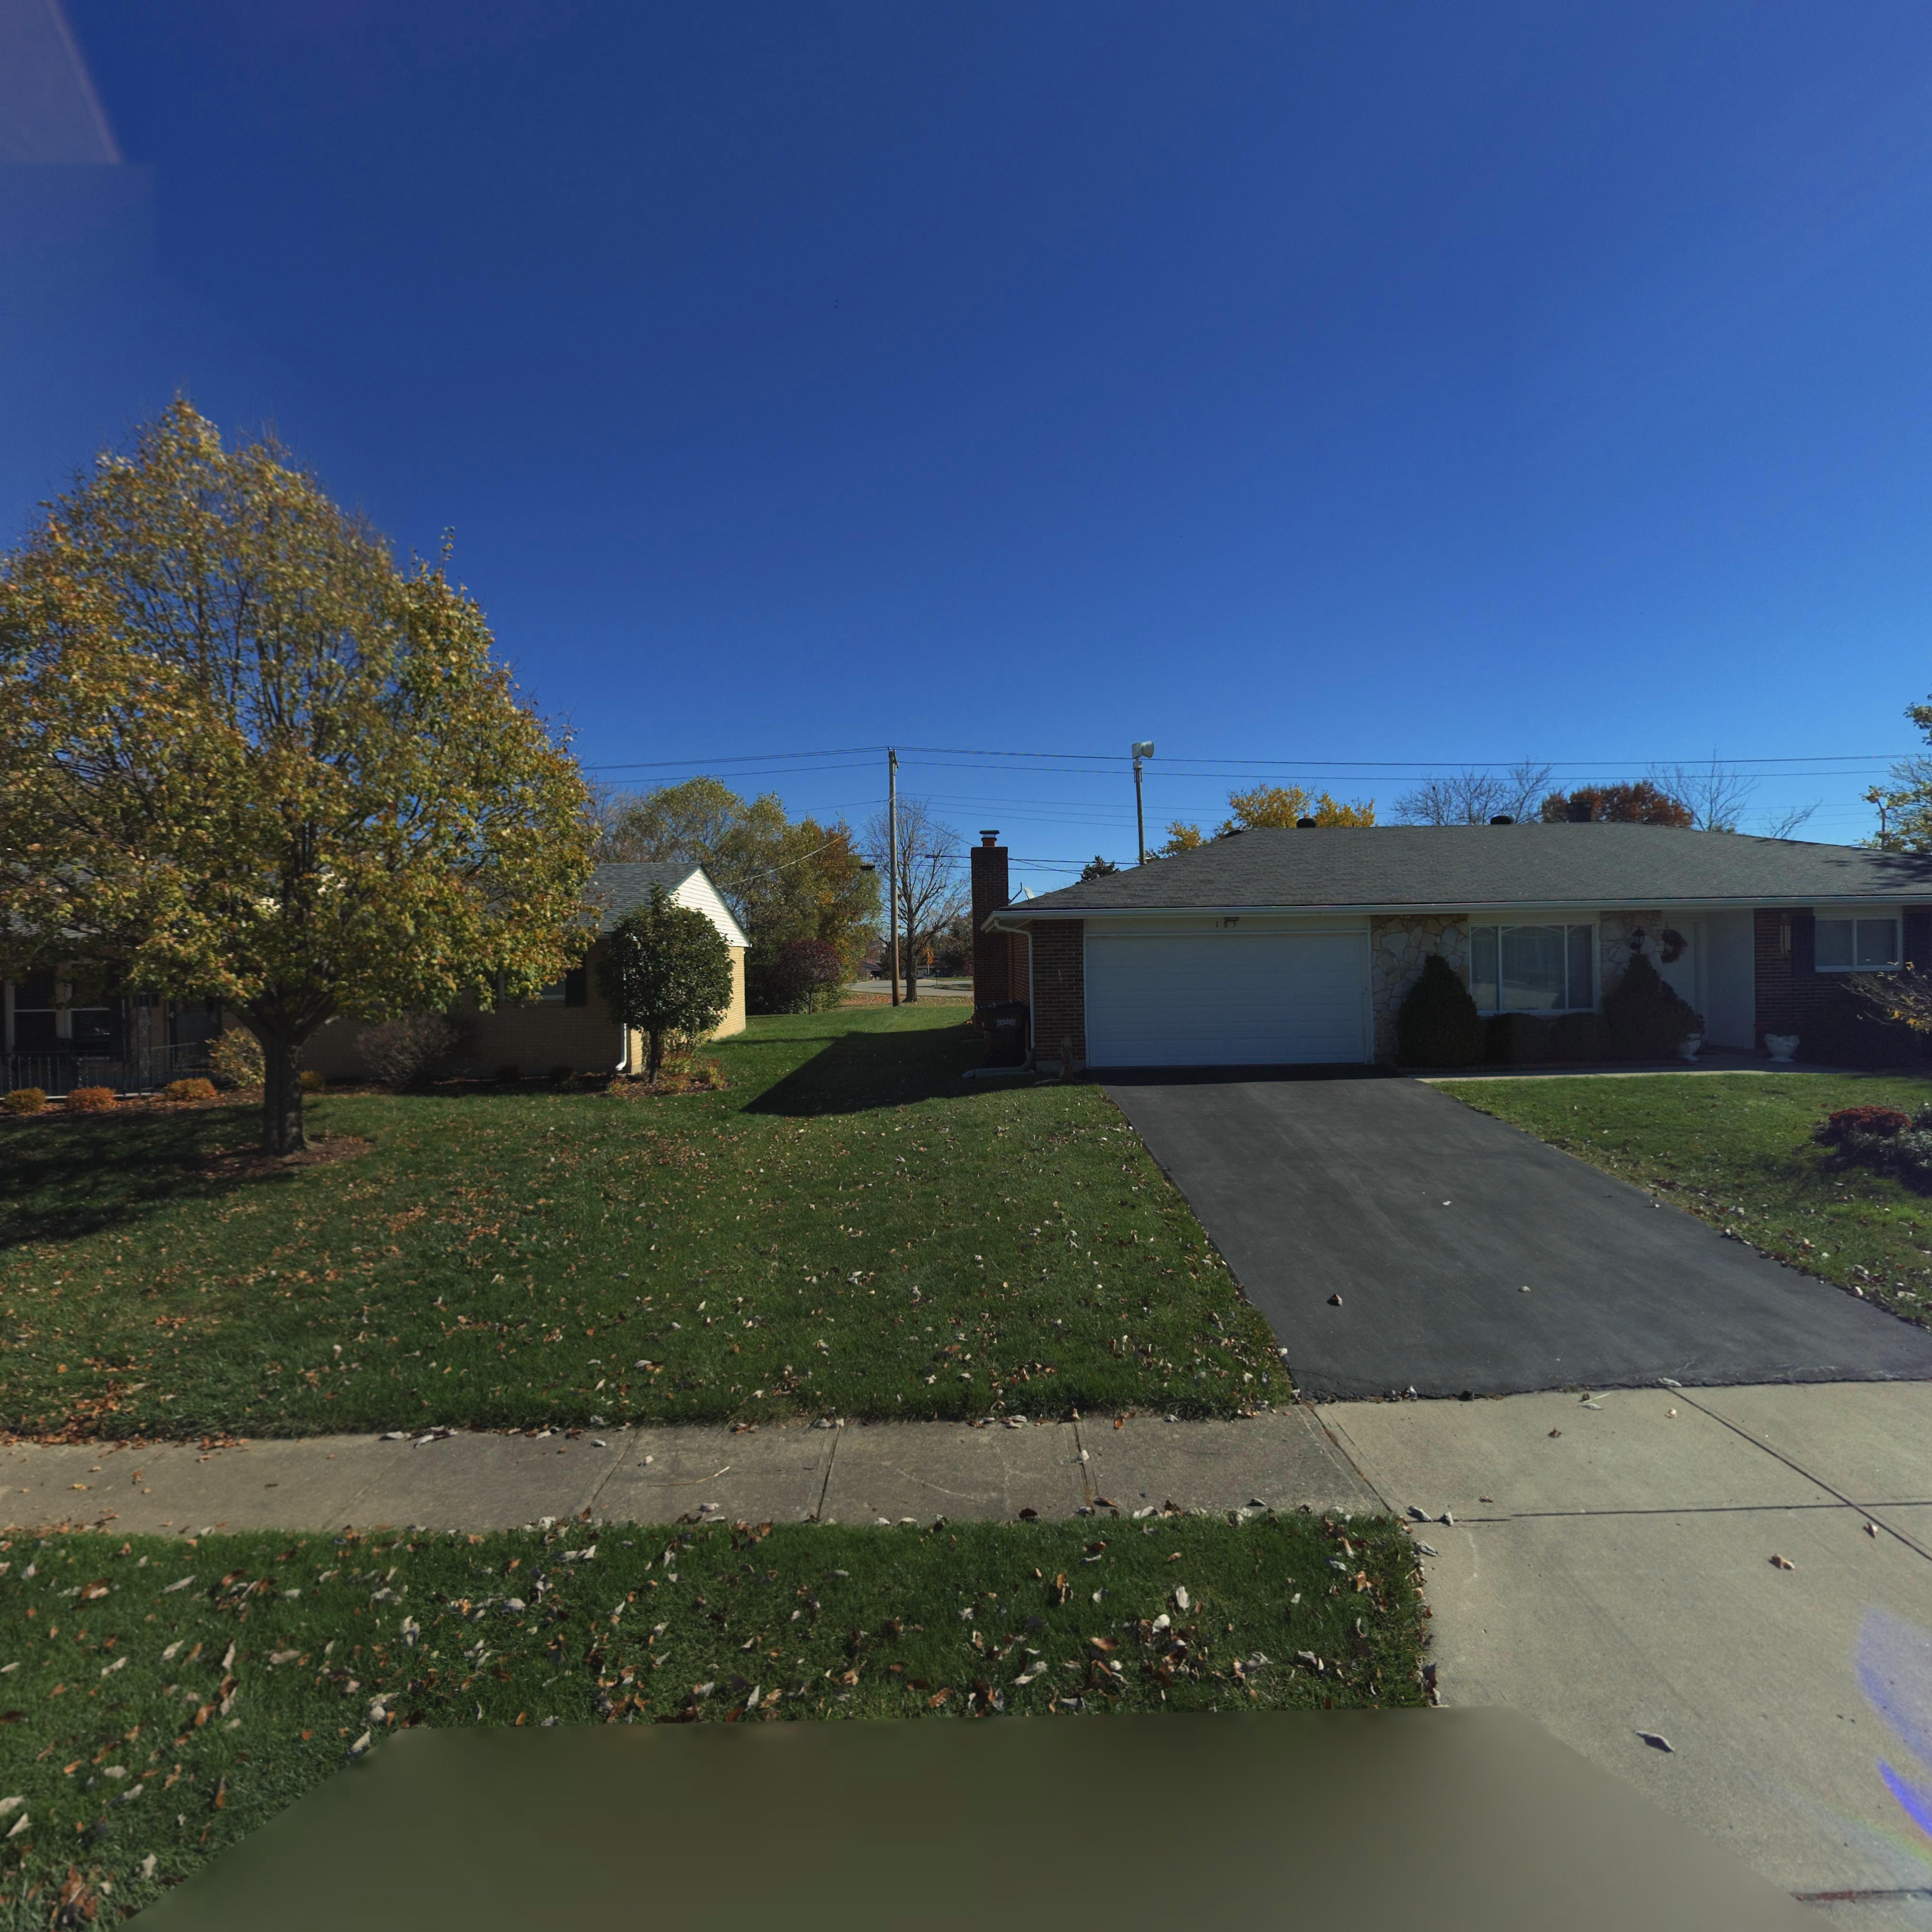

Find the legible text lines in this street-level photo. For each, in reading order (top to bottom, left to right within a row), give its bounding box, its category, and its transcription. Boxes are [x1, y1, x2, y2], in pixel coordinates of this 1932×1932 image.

[1215, 919, 1237, 929] StreetNumber: 18*